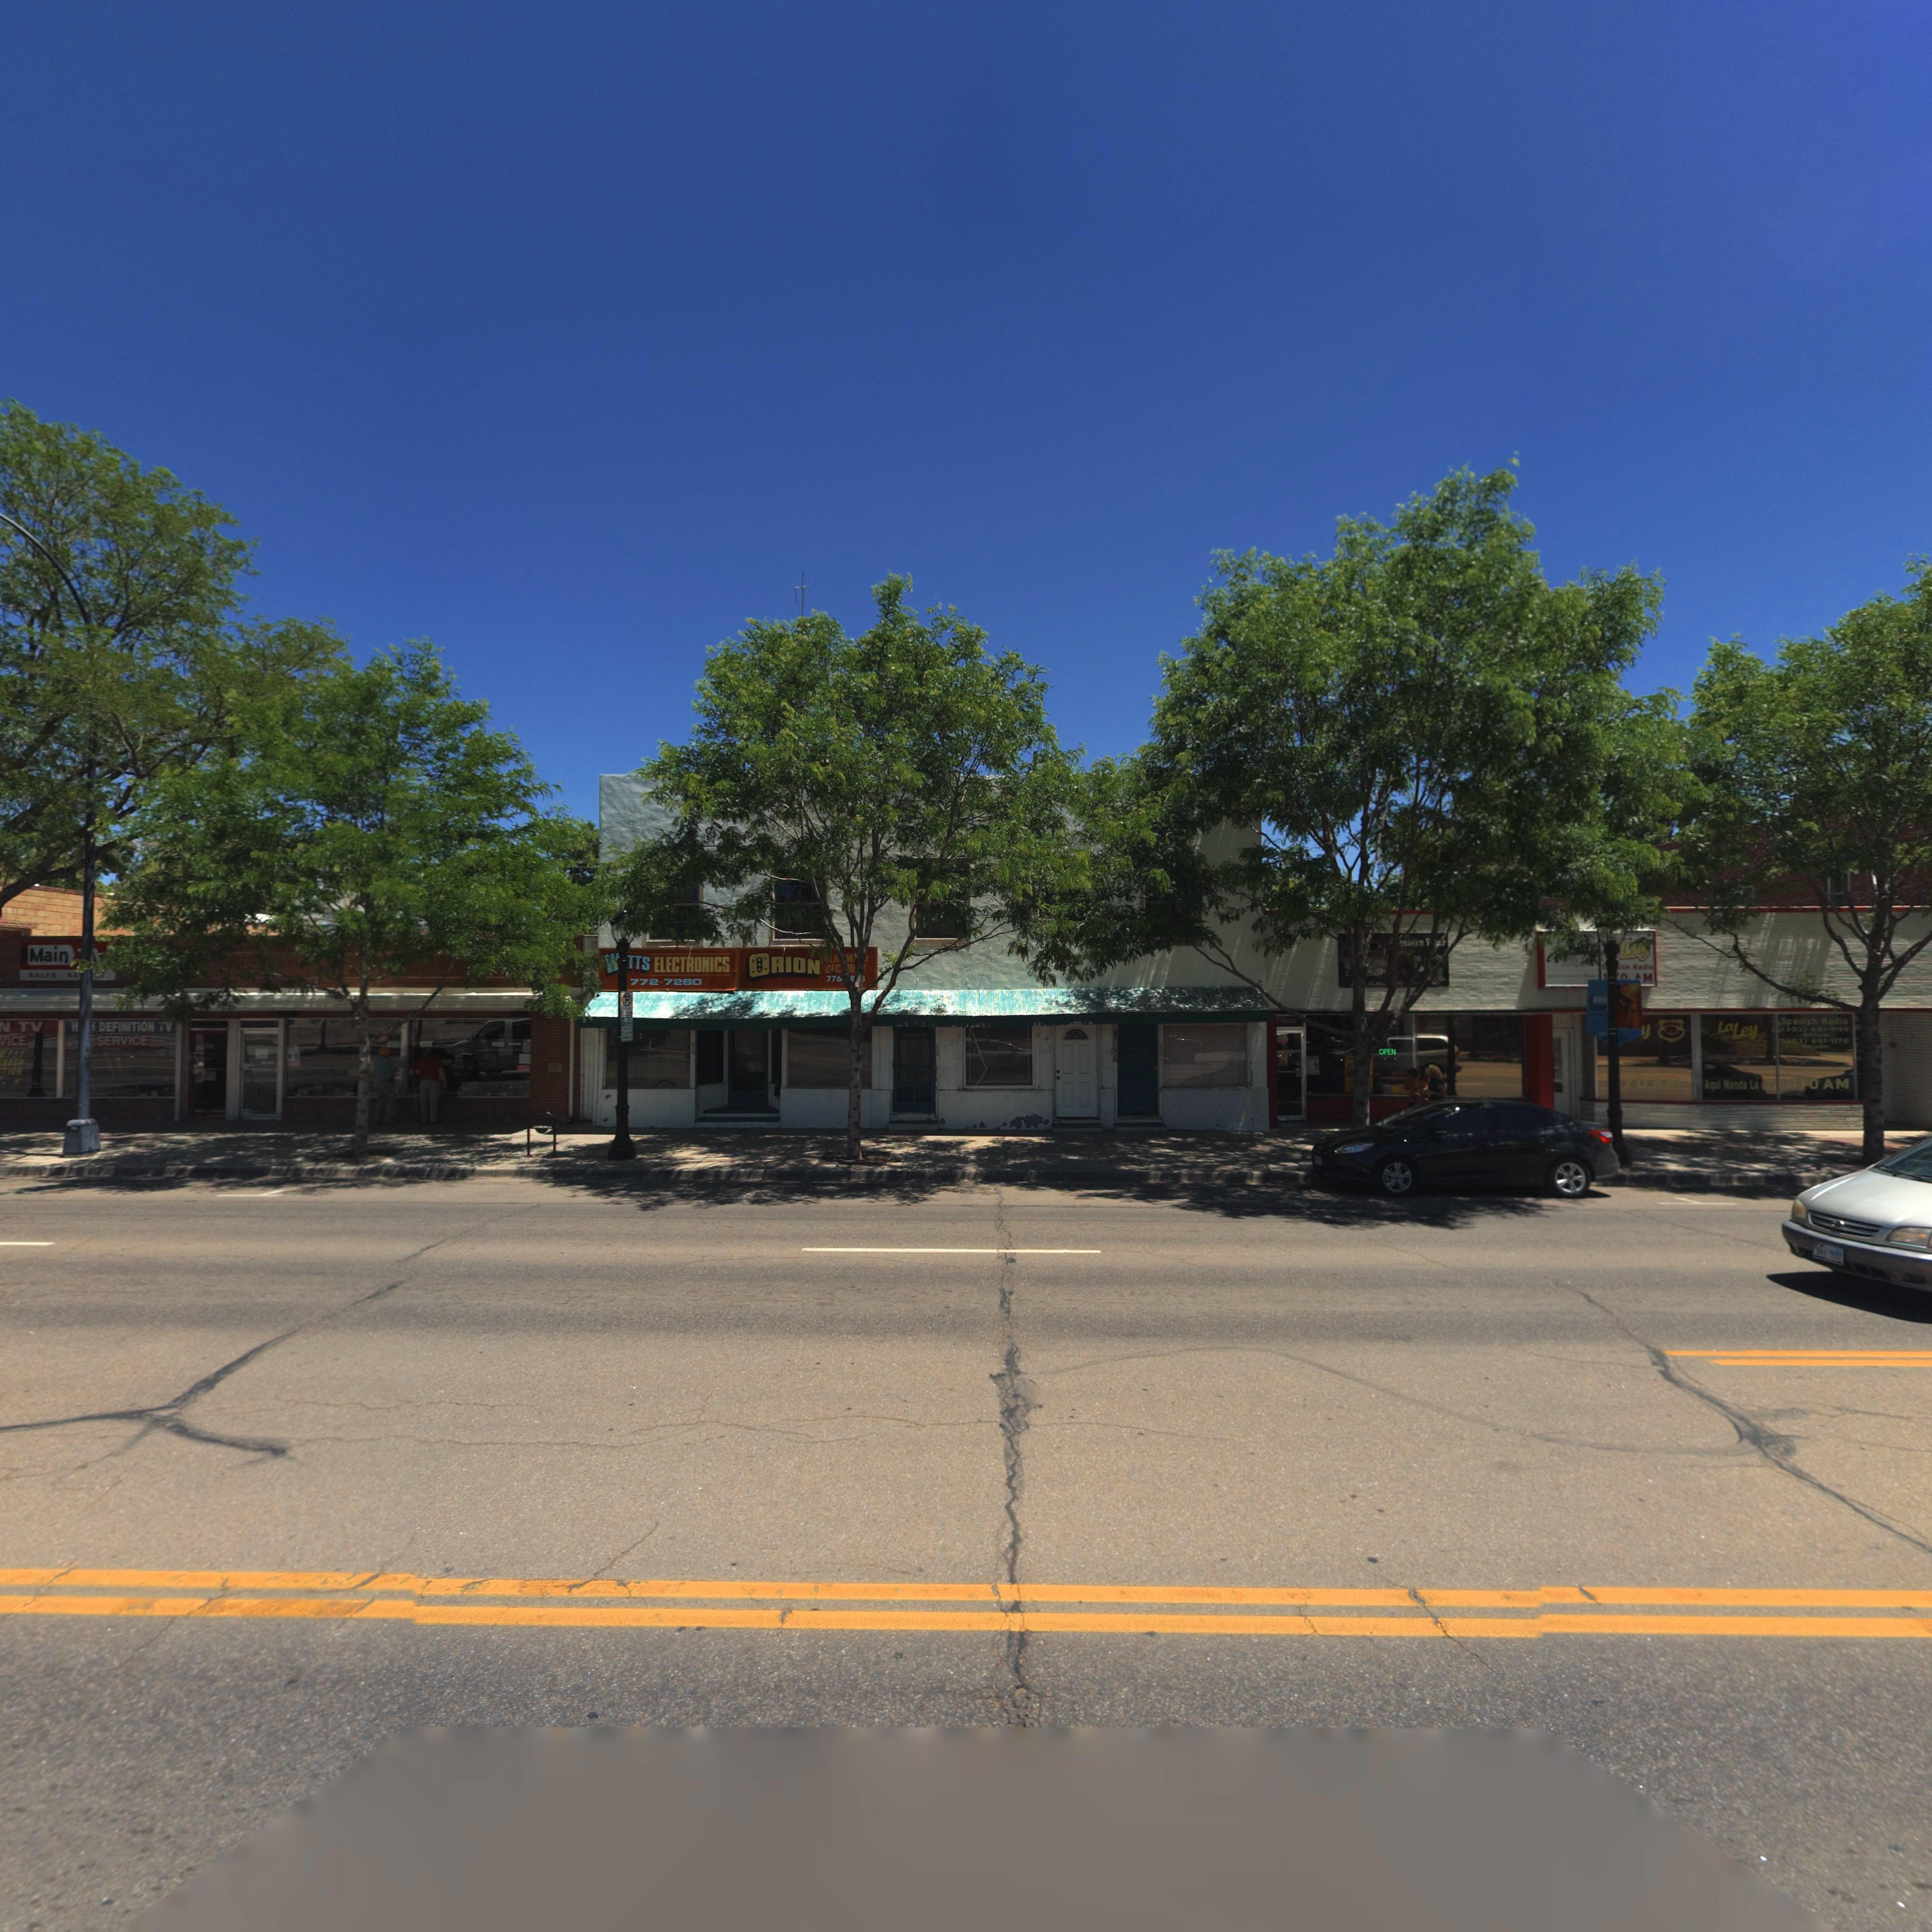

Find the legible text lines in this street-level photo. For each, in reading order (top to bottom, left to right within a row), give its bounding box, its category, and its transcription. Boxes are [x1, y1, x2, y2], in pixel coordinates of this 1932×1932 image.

[1399, 937, 1447, 946] BusinessName: estern **ar
[29, 945, 112, 969] BusinessName: Main *v
[604, 952, 650, 974] BusinessName: W*TTS
[654, 956, 730, 972] BusinessName: ELECTRONICS
[749, 952, 820, 978] BusinessName: ORION
[824, 952, 869, 963] BusinessName: **A*M* *
[1546, 947, 1590, 964] BusinessName: A****
[1621, 941, 1648, 959] BusinessName: Ley
[1604, 973, 1652, 982] BusinessName: ***0 *M
[18, 1021, 43, 1032] BusinessName: TV
[254, 1033, 264, 1038] StreetNumber: **6
[1280, 1018, 1297, 1024] StreetName: MAIN
[1641, 1024, 1651, 1039] BusinessName: y
[1718, 1020, 1759, 1041] BusinessName: LaLey
[691, 1043, 694, 1054] StreetNumber: *30
[936, 1043, 939, 1056] StreetNumber: 623
[1623, 1076, 1681, 1090] BusinessName: 70 AM
[1786, 1077, 1849, 1091] BusinessName: 1170 AM